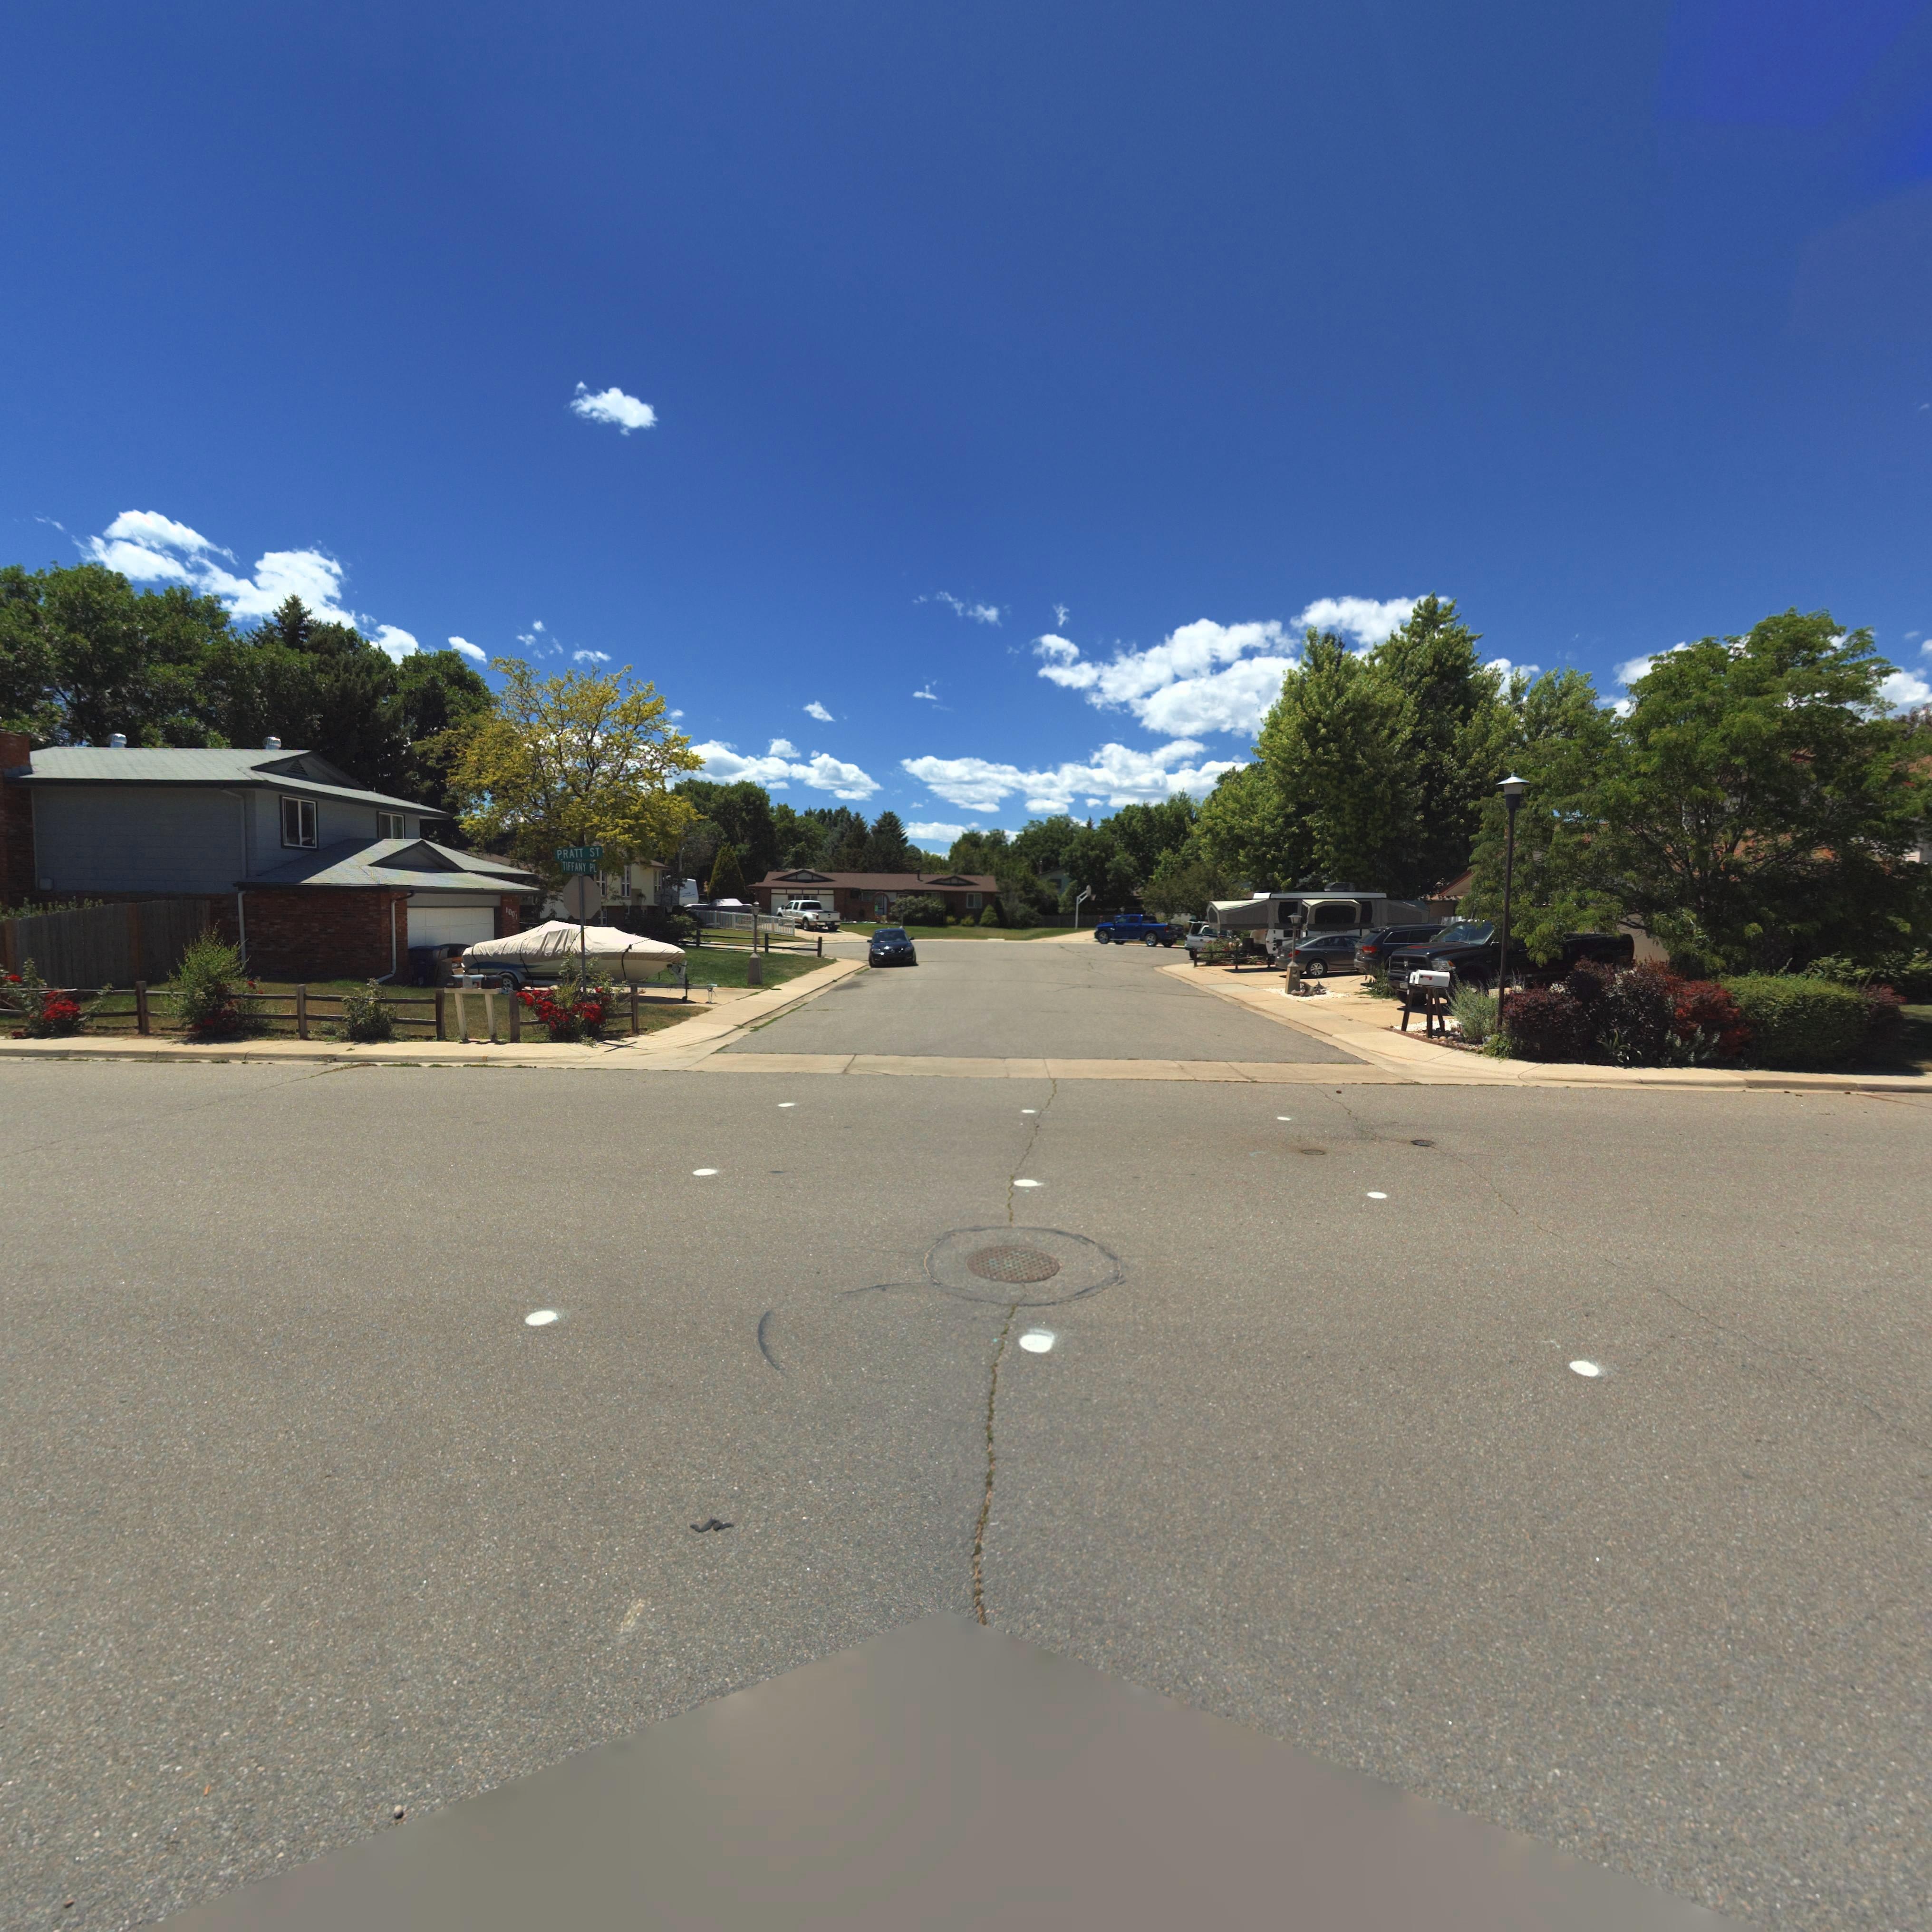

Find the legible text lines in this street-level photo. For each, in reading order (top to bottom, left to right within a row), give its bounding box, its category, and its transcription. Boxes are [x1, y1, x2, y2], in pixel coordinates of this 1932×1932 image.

[556, 847, 600, 860] StreetName: PRATT ST
[562, 861, 597, 872] StreetName: TIFFANY PL
[505, 906, 517, 920] StreetNumber: 1001